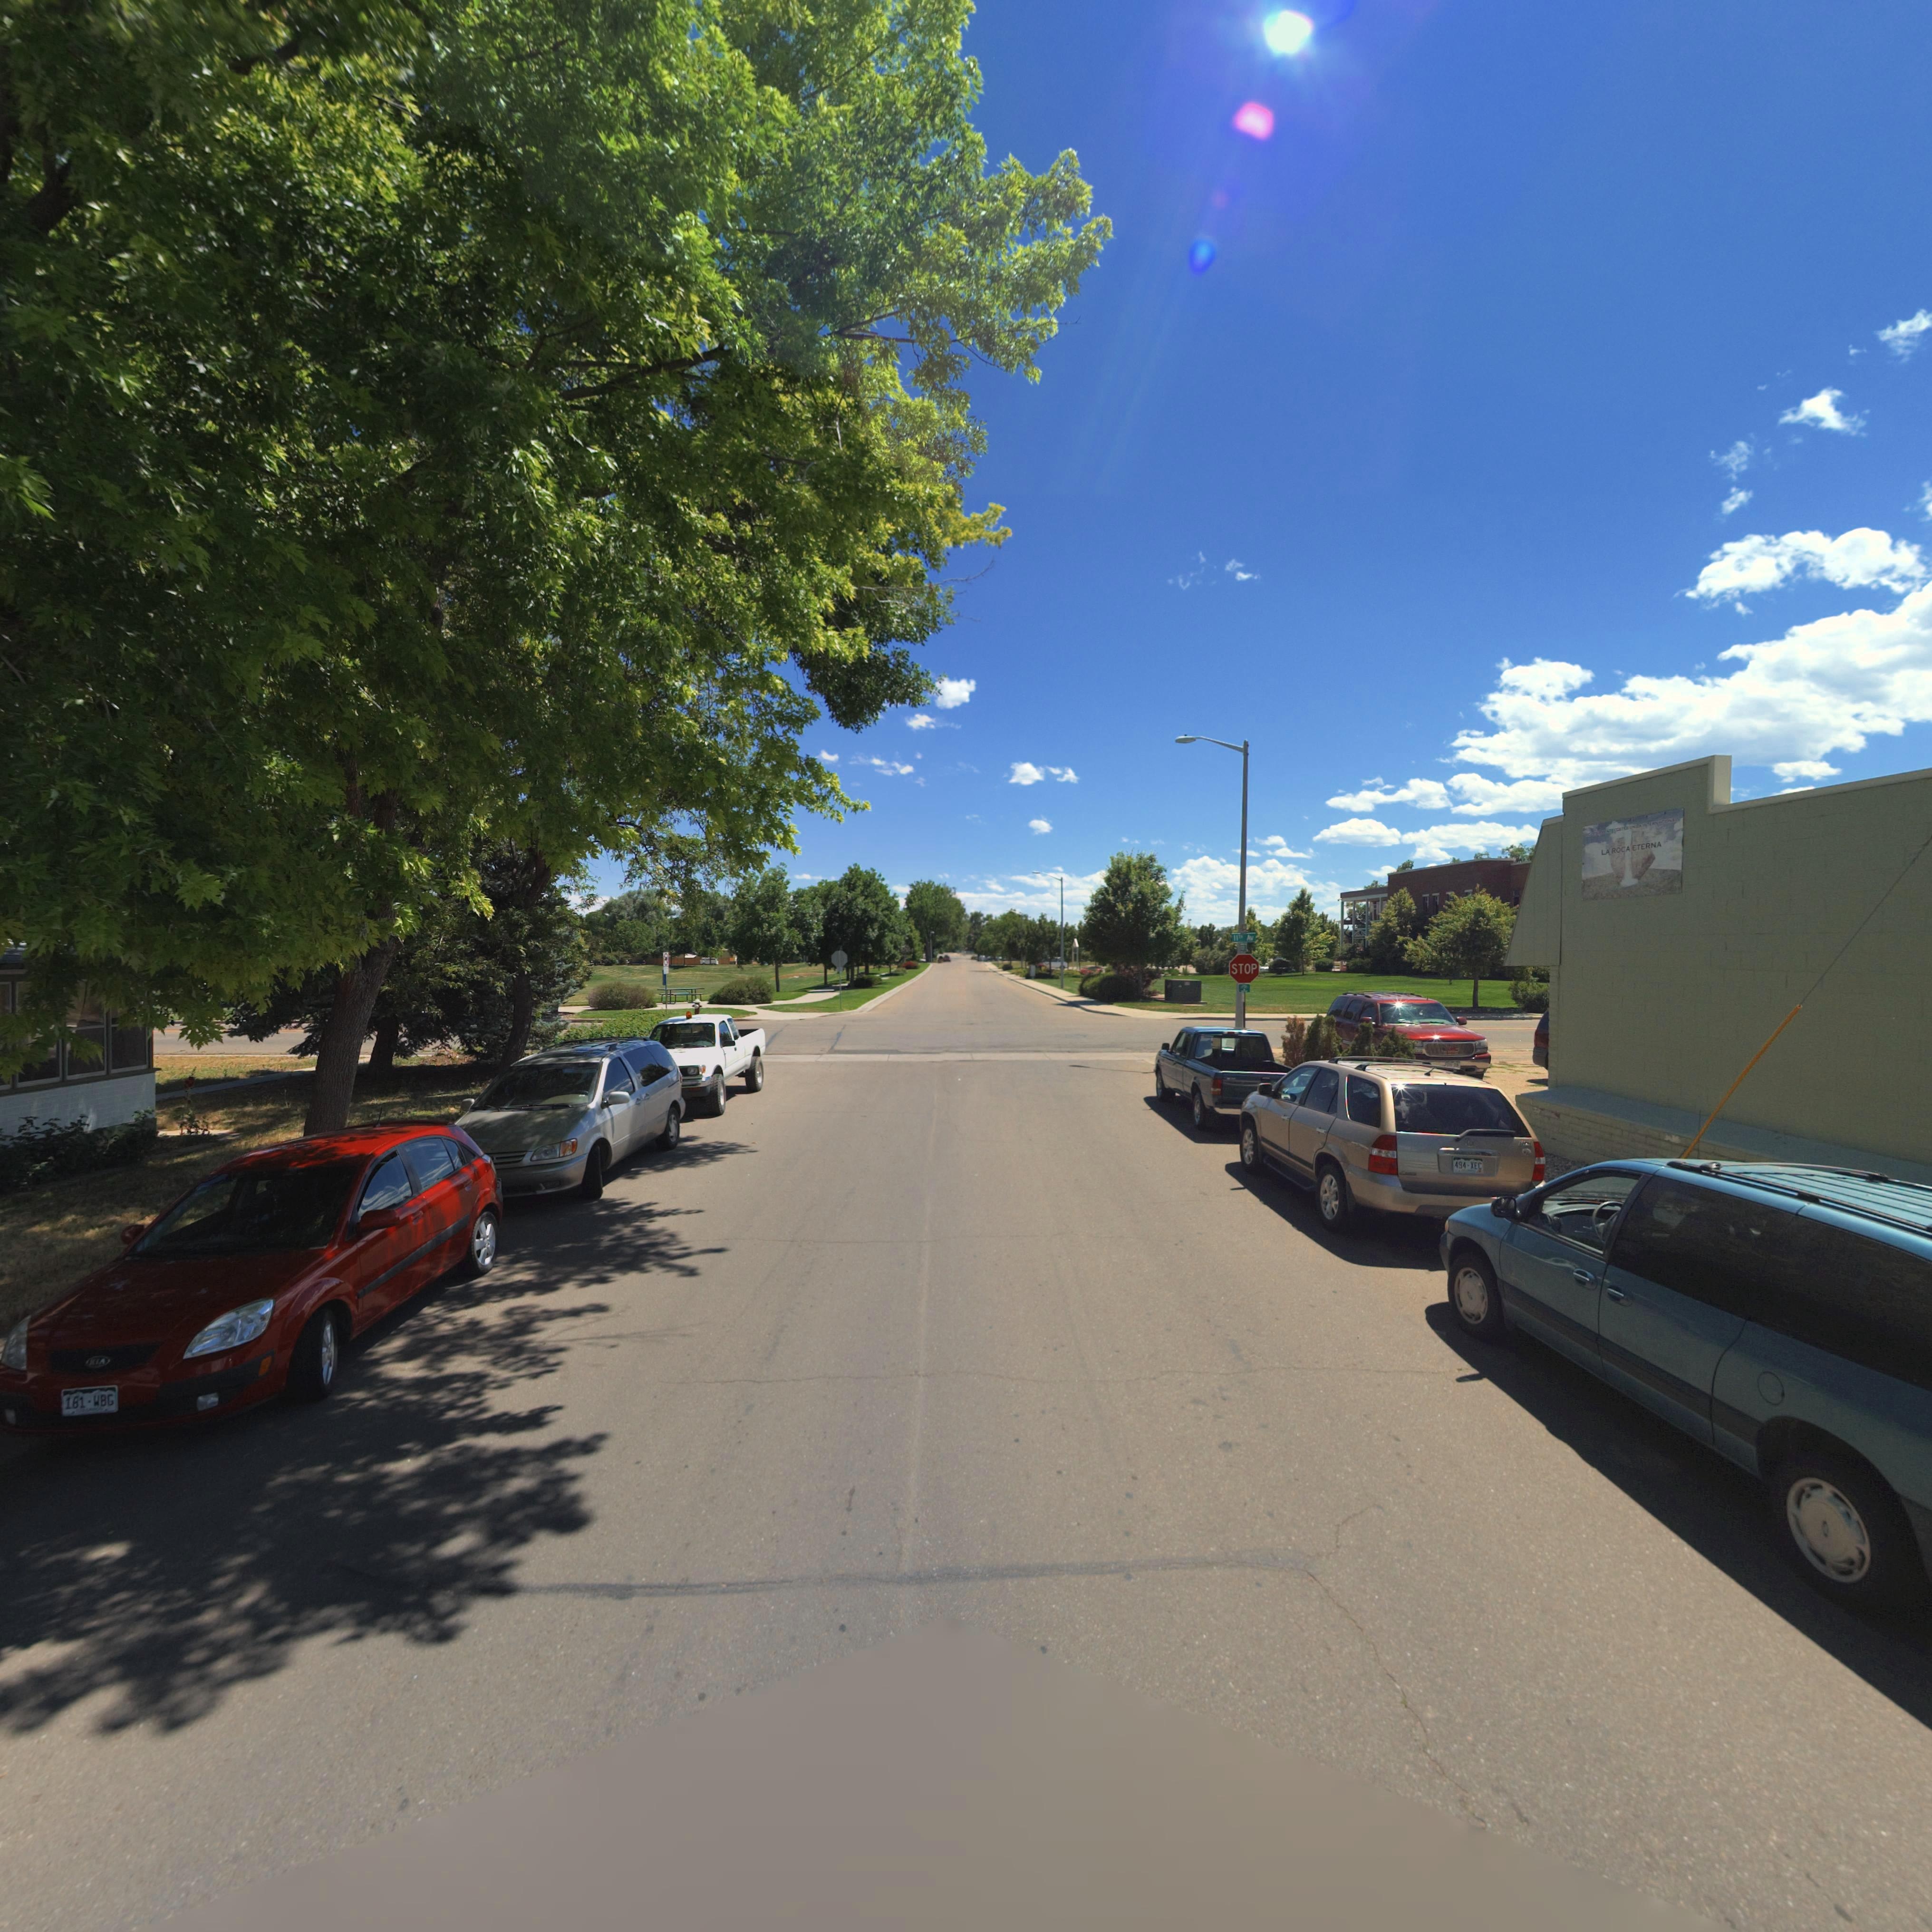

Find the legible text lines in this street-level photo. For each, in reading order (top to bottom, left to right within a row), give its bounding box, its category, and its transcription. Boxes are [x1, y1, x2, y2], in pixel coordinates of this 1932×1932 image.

[1601, 840, 1662, 856] BusinessName: LA ROCA ETERNA
[1233, 934, 1254, 941] StreetName: 11T* Av